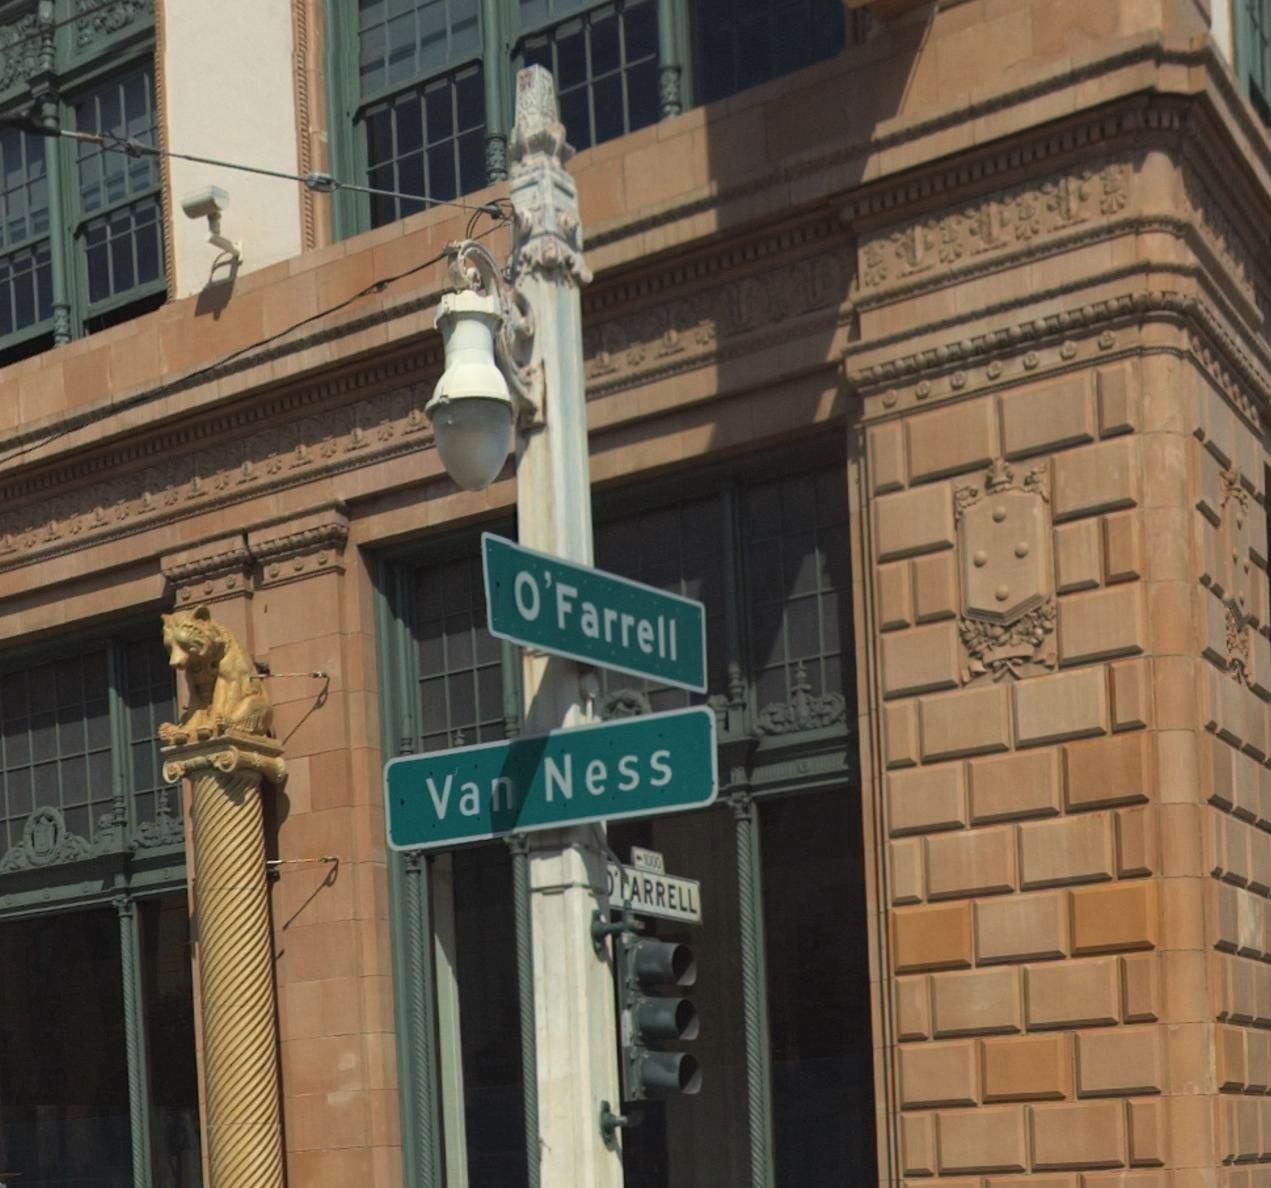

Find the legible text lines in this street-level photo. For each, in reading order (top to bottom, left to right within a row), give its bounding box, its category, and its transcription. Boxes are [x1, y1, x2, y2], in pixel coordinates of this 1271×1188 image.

[509, 559, 682, 670] StreetName: O'Farrell
[416, 744, 682, 828] StreetName: Van Ness
[633, 849, 665, 874] StreetNumberRange: <-1000
[622, 867, 703, 921] StreetName: ARRELL